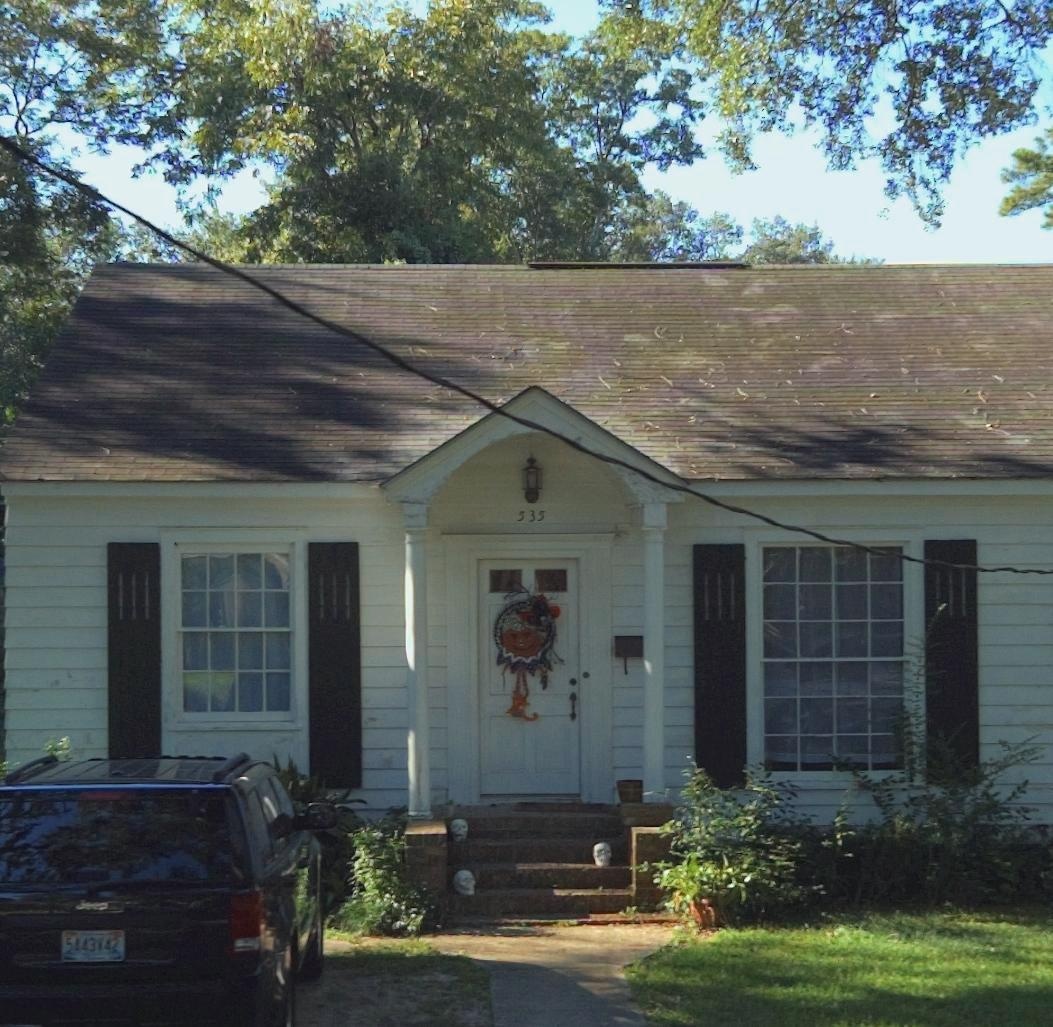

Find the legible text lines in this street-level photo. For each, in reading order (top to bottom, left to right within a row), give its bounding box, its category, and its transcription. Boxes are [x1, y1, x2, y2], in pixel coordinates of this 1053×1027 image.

[514, 508, 548, 524] StreetNumber: 535
[63, 934, 122, 955] None: 5*43**2